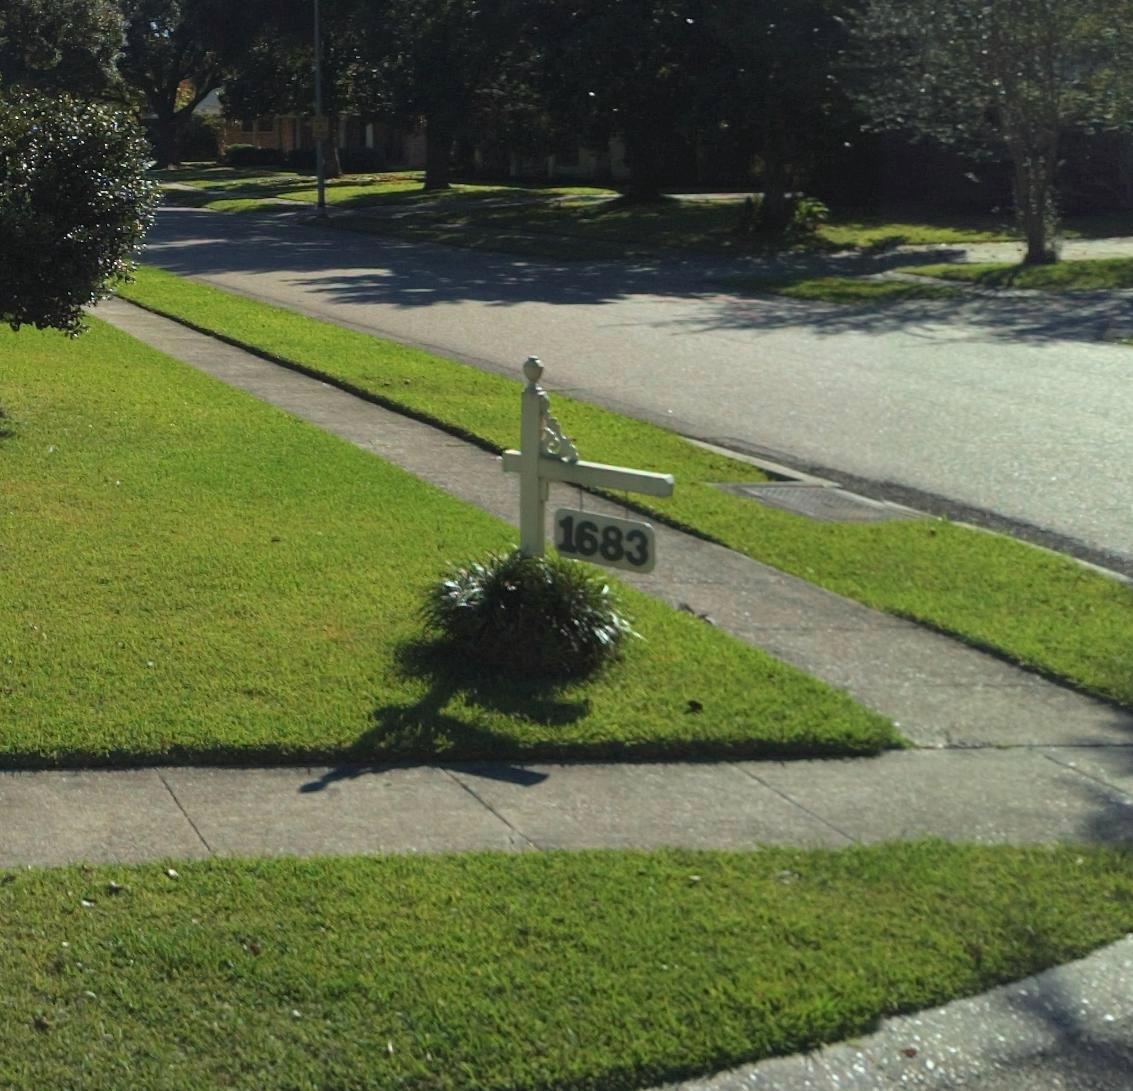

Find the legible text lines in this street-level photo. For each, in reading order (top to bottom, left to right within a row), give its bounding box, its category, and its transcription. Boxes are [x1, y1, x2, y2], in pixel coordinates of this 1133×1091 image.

[555, 512, 652, 570] StreetNumber: 1683